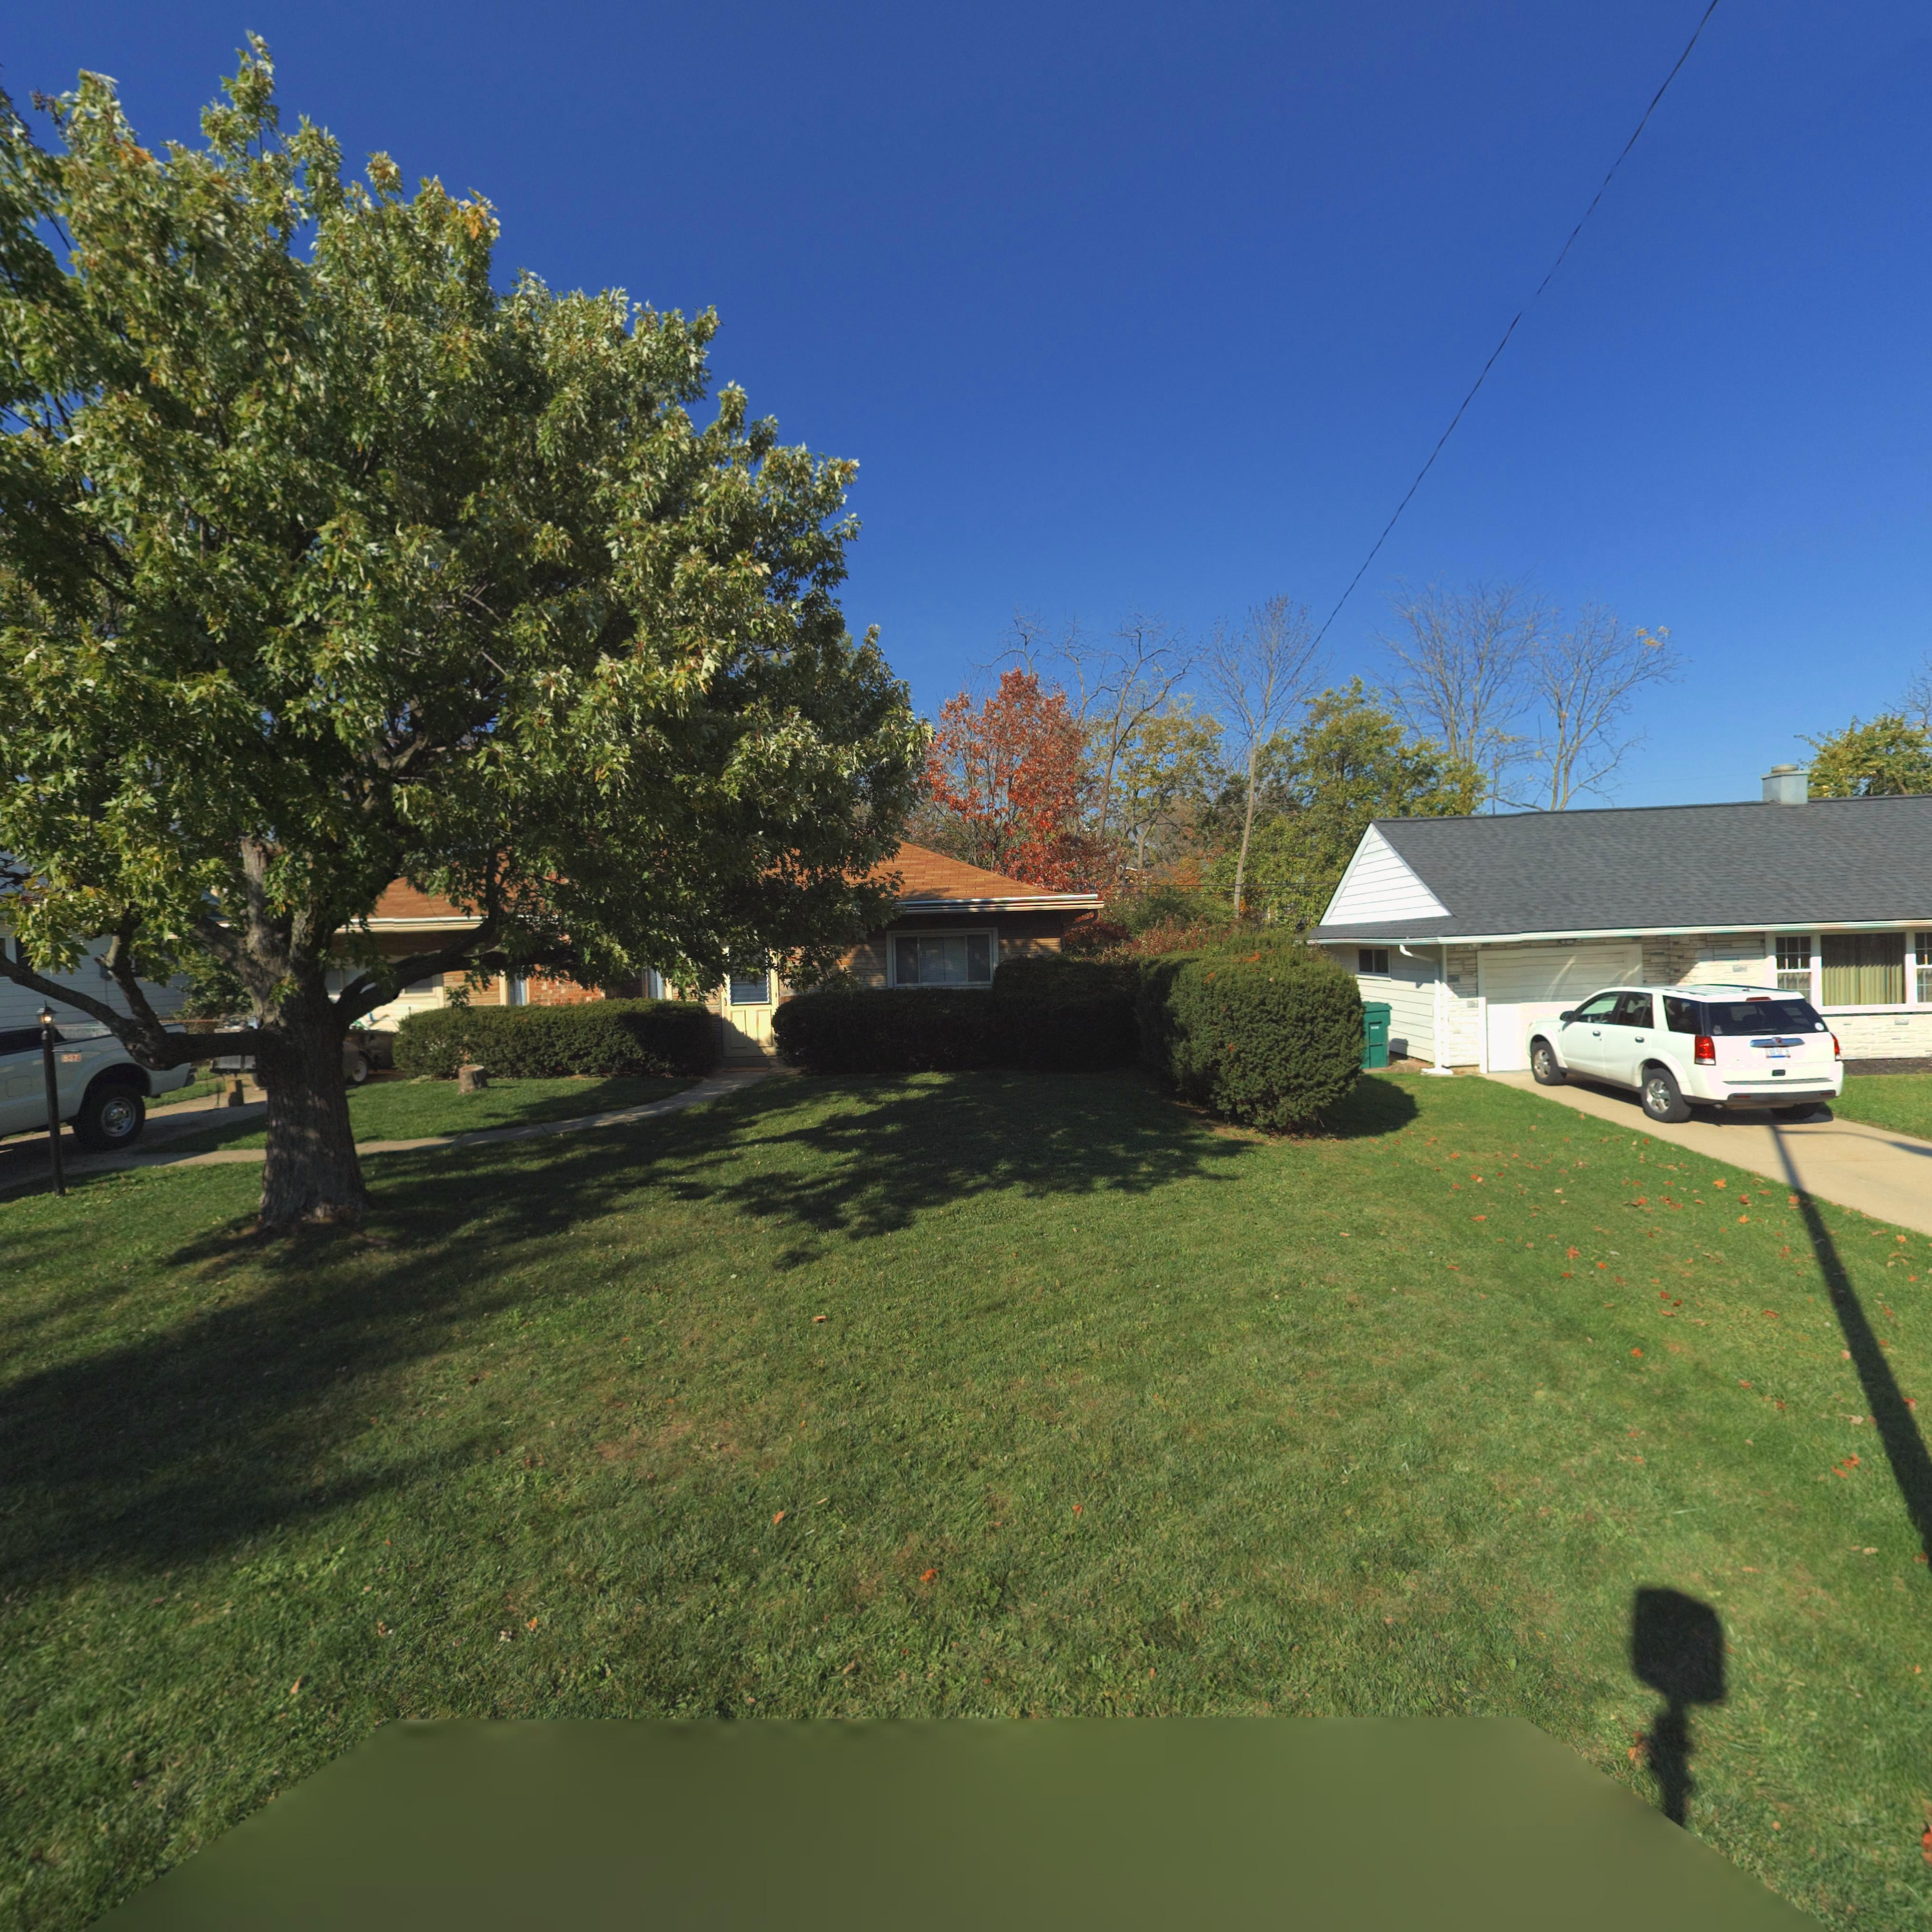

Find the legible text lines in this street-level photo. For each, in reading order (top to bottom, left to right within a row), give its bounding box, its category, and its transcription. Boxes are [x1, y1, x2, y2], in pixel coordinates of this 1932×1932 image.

[1764, 1047, 1790, 1056] None: EXO 5679